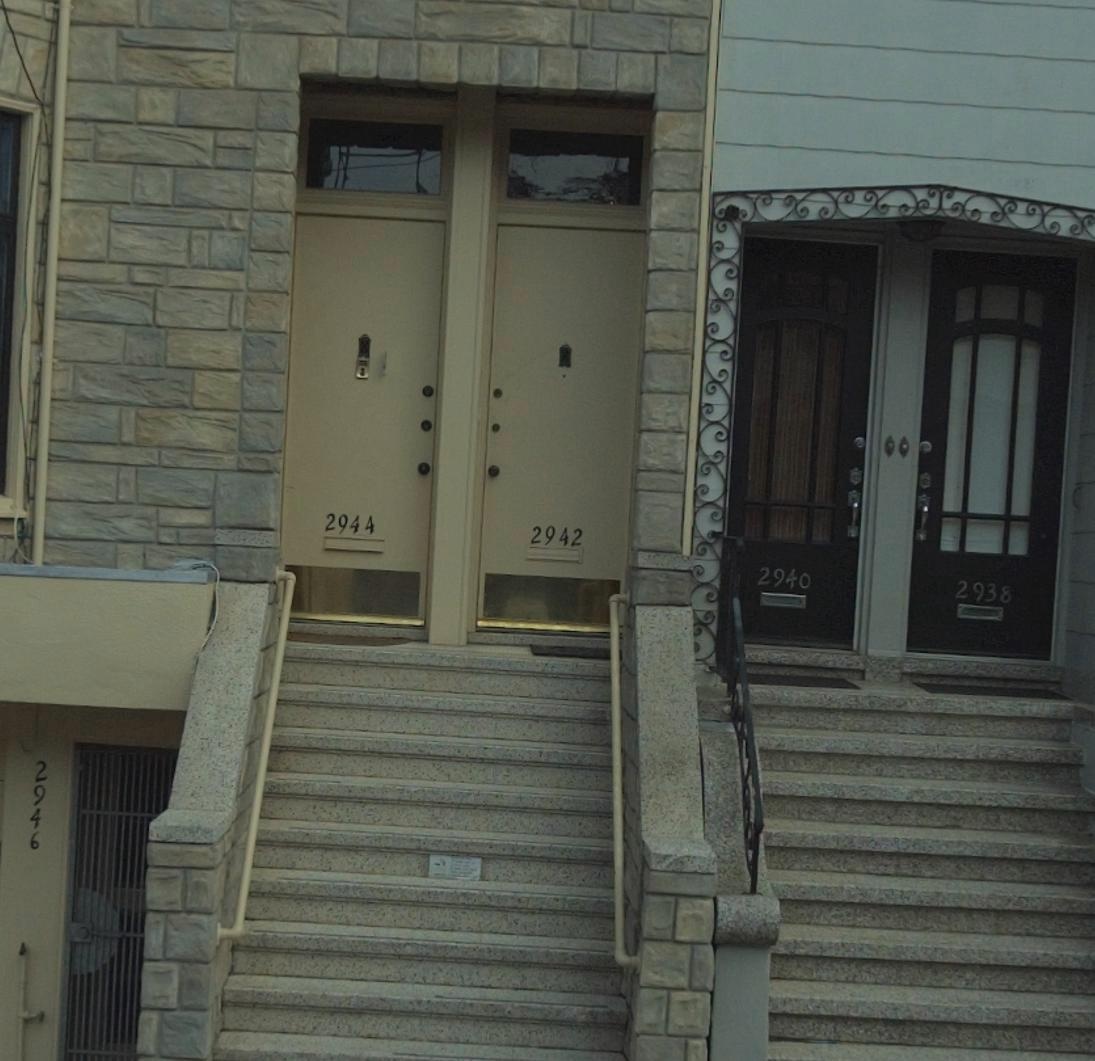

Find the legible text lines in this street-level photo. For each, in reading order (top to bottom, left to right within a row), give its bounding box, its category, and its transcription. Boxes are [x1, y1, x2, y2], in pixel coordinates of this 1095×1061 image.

[322, 510, 380, 538] StreetNumber: 2944
[527, 523, 585, 549] StreetNumber: 2942
[754, 563, 813, 592] StreetNumber: 2940
[952, 577, 1015, 606] StreetNumber: 2938
[28, 757, 49, 855] StreetNumber: 2946